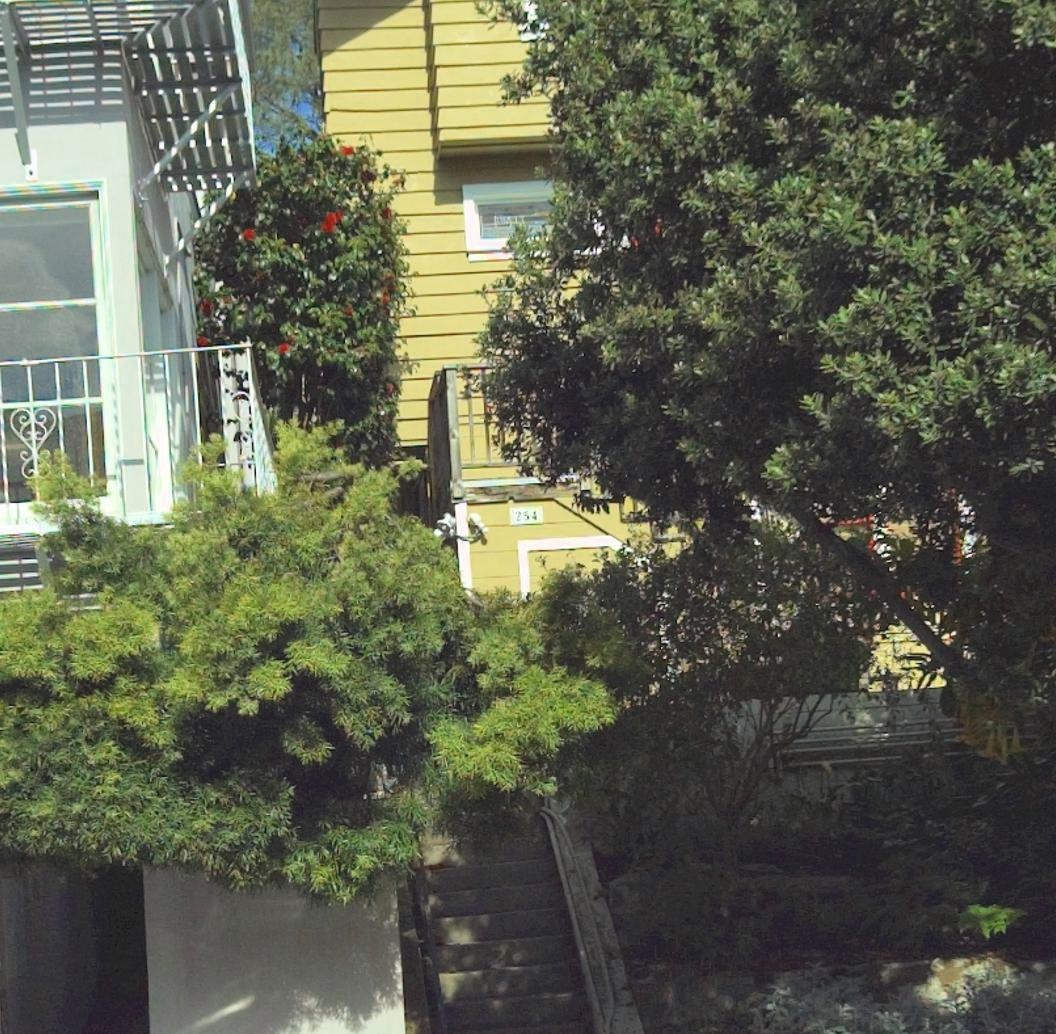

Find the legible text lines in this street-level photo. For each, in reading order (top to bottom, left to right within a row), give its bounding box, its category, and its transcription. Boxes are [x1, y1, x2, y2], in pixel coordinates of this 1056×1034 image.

[513, 510, 539, 521] StreetNumber: 254